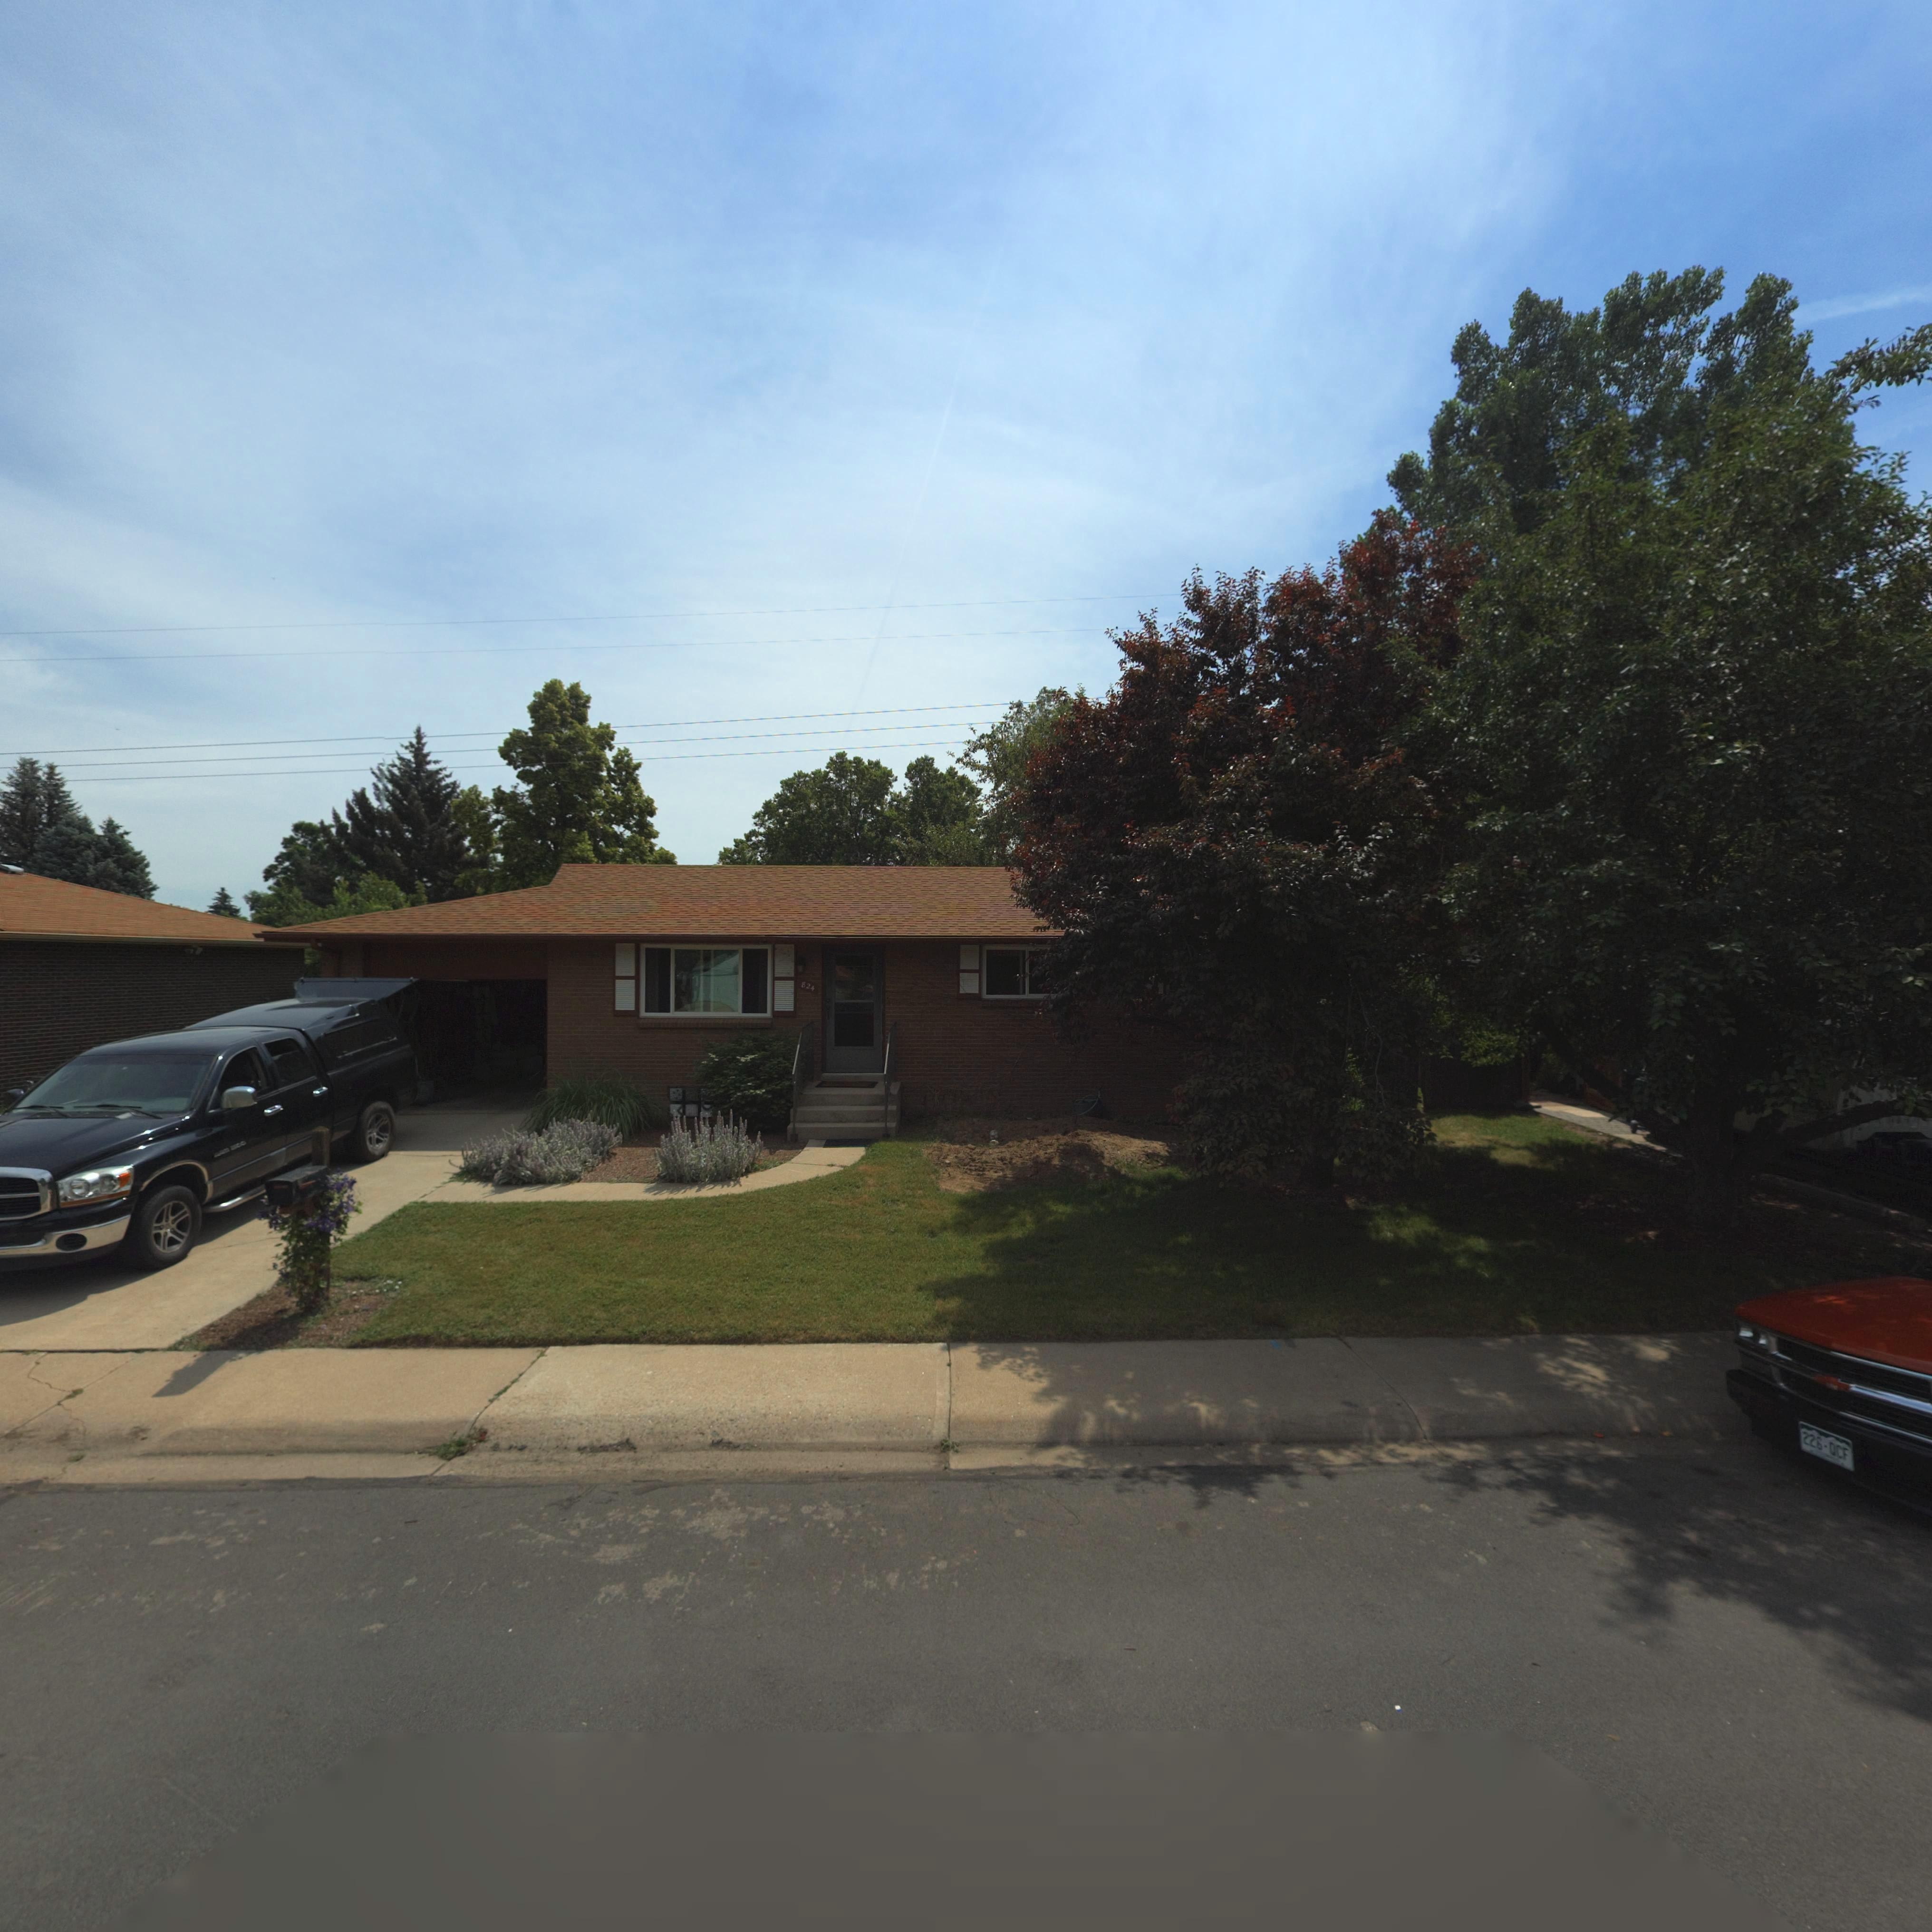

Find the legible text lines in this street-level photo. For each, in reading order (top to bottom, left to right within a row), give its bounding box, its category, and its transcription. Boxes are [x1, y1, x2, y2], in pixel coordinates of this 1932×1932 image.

[801, 981, 815, 991] StreetNumber: 824